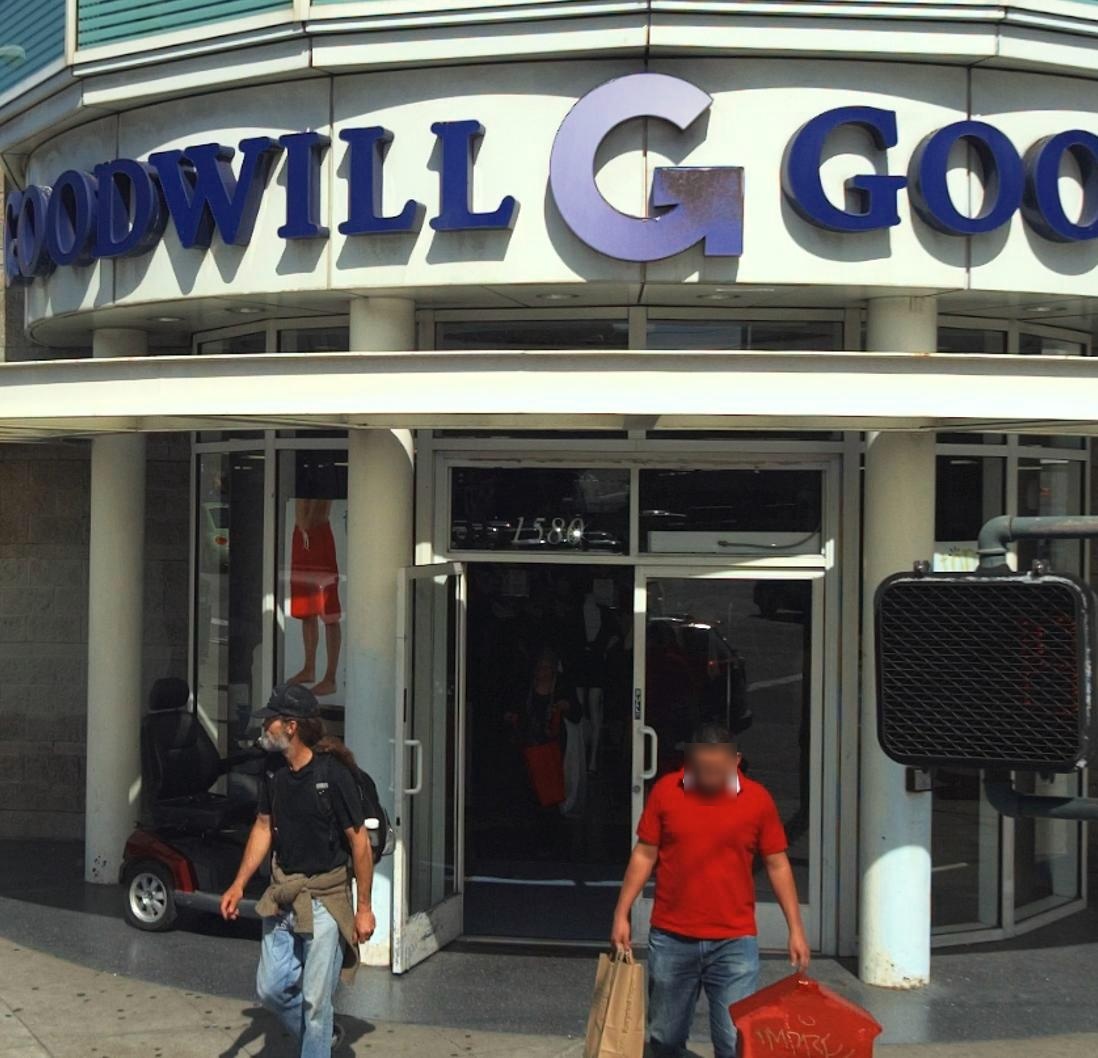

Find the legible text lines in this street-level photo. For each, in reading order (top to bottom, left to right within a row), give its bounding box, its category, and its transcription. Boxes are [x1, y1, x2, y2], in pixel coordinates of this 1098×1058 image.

[11, 113, 529, 289] BusinessName: OODWILL
[769, 97, 1039, 242] BusinessName: GO
[504, 513, 592, 548] StreetNumber: 1580
[761, 1023, 794, 1056] None: M